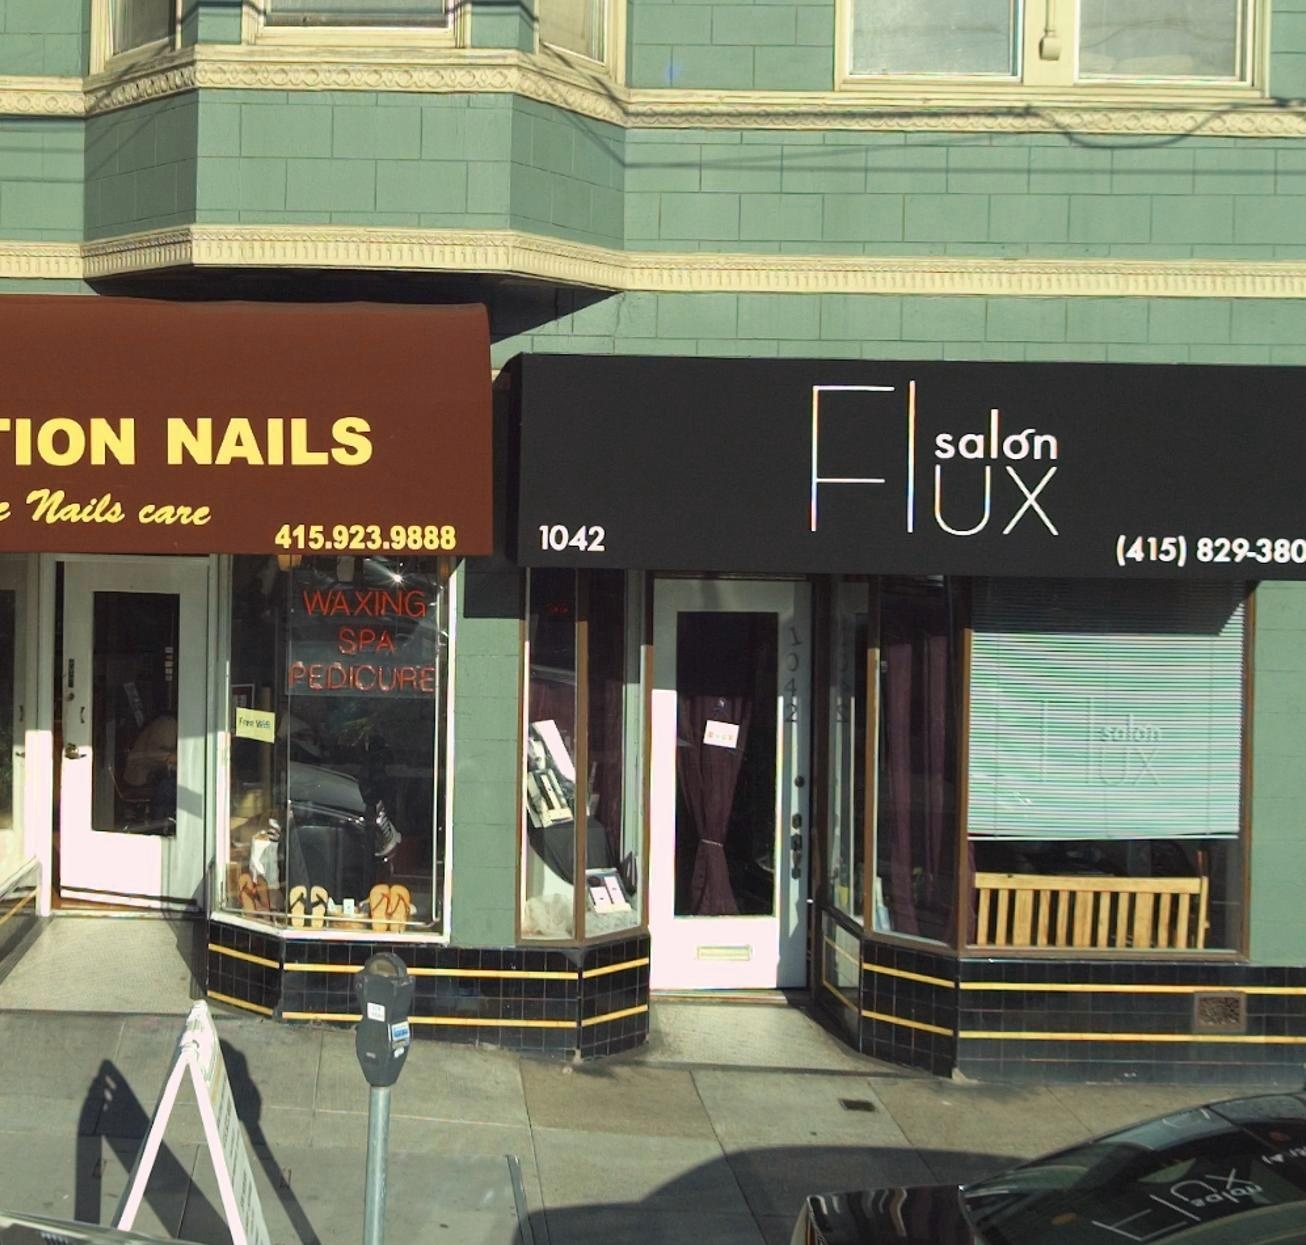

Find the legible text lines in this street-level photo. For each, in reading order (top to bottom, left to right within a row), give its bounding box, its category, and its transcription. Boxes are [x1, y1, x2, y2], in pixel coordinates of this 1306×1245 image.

[11, 415, 374, 469] BusinessName: ION NAILS
[808, 376, 1062, 539] BusinessName: FLUX
[931, 405, 1062, 462] BusinessName: sal*n
[21, 487, 213, 527] None: Nails care
[270, 520, 457, 551] None: 415.923.9888
[537, 524, 606, 552] StreetNumber: 1042
[1113, 530, 1306, 569] None: (415) 829-380
[301, 587, 427, 621] None: WAXING
[335, 625, 399, 656] None: SPA
[287, 660, 436, 695] None: PEDICURE
[782, 625, 804, 724] StreetNumber: 1042
[1100, 712, 1164, 742] BusinessName: sal*n
[1097, 744, 1163, 788] BusinessName: UX